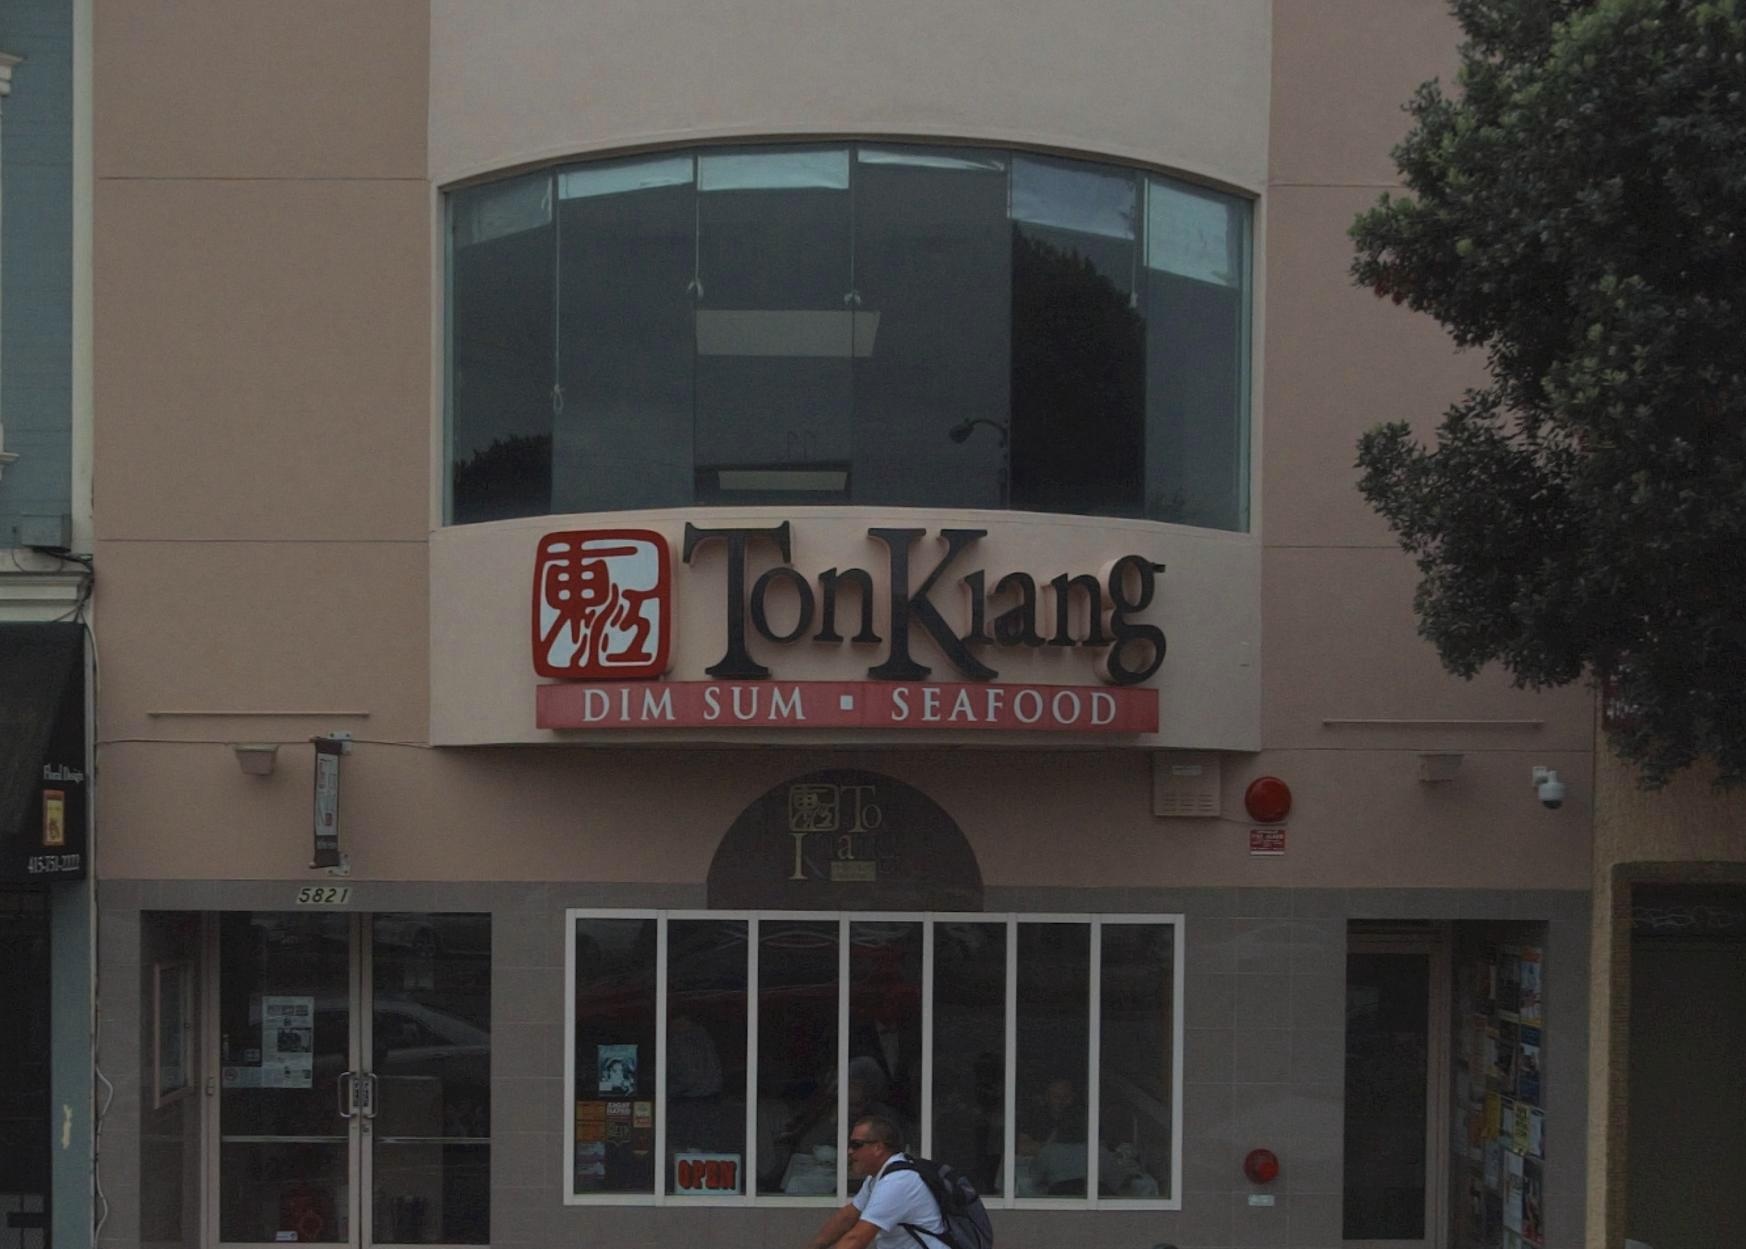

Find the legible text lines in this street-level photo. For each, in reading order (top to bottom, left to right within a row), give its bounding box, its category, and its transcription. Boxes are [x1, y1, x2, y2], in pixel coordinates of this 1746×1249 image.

[678, 518, 1173, 689] BusinessName: Ton Kiang
[579, 683, 1119, 729] None: DIM SUM * SEAFOOD
[838, 781, 886, 836] BusinessName: To
[25, 850, 83, 876] None: 415-751-****
[835, 832, 858, 863] BusinessName: a
[296, 886, 353, 905] StreetNumber: 5821
[676, 1157, 738, 1192] None: OPEN